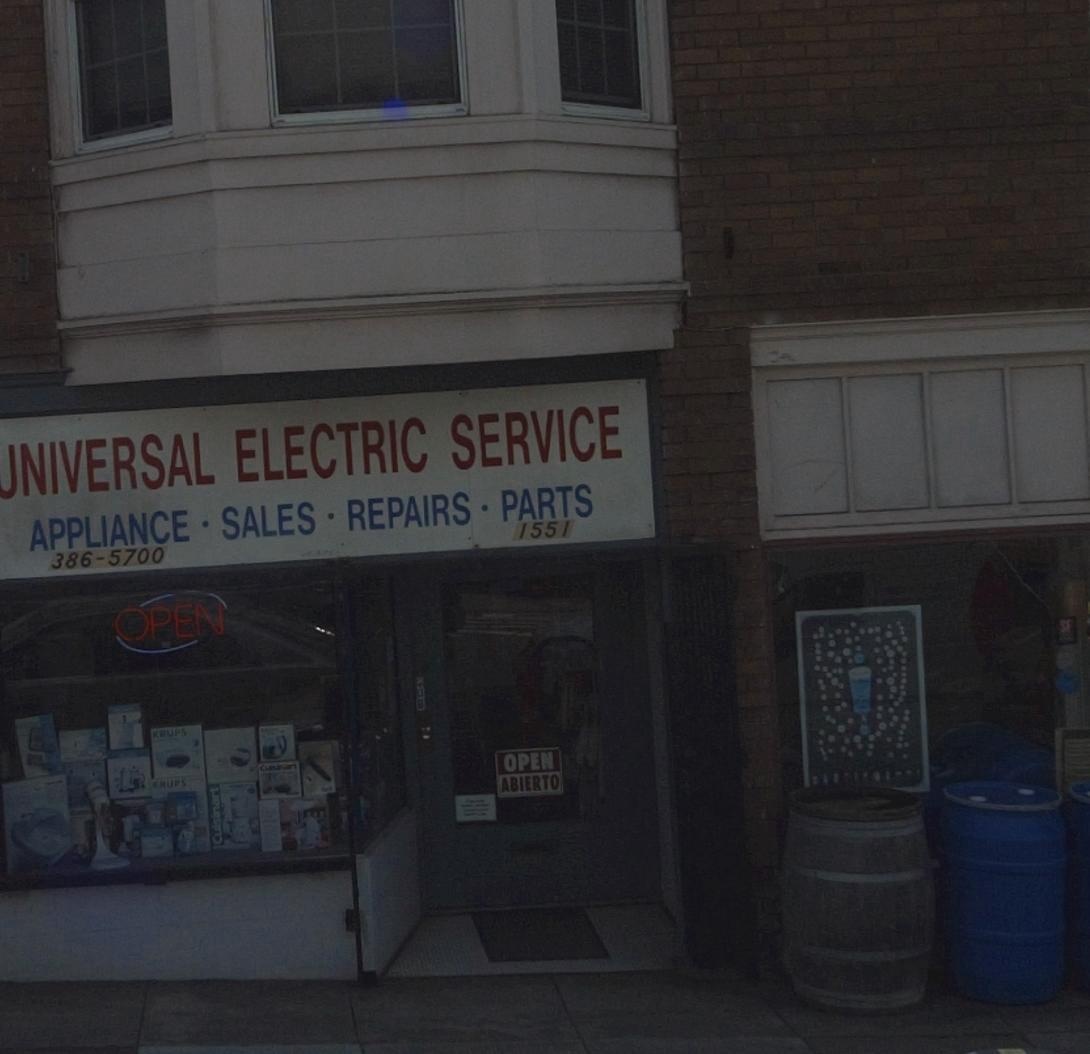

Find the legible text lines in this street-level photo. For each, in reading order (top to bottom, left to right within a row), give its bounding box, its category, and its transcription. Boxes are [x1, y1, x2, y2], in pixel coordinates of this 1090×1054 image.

[18, 404, 623, 498] BusinessName: NIVERSAL ELECTRIC SERVICE
[27, 483, 594, 553] None: APPLIANCE * SALES * REPAIRS * PARTS
[517, 519, 572, 540] StreetNumber: 1551
[47, 545, 169, 571] None: 386-5700
[113, 602, 224, 643] None: OPEN
[1059, 618, 1073, 633] None: SF
[151, 727, 188, 740] None: KRUPS
[503, 751, 555, 773] None: OPEN
[151, 777, 187, 790] None: KRUPS
[500, 773, 560, 793] None: ABIERTO
[209, 785, 224, 845] None: CUISINART